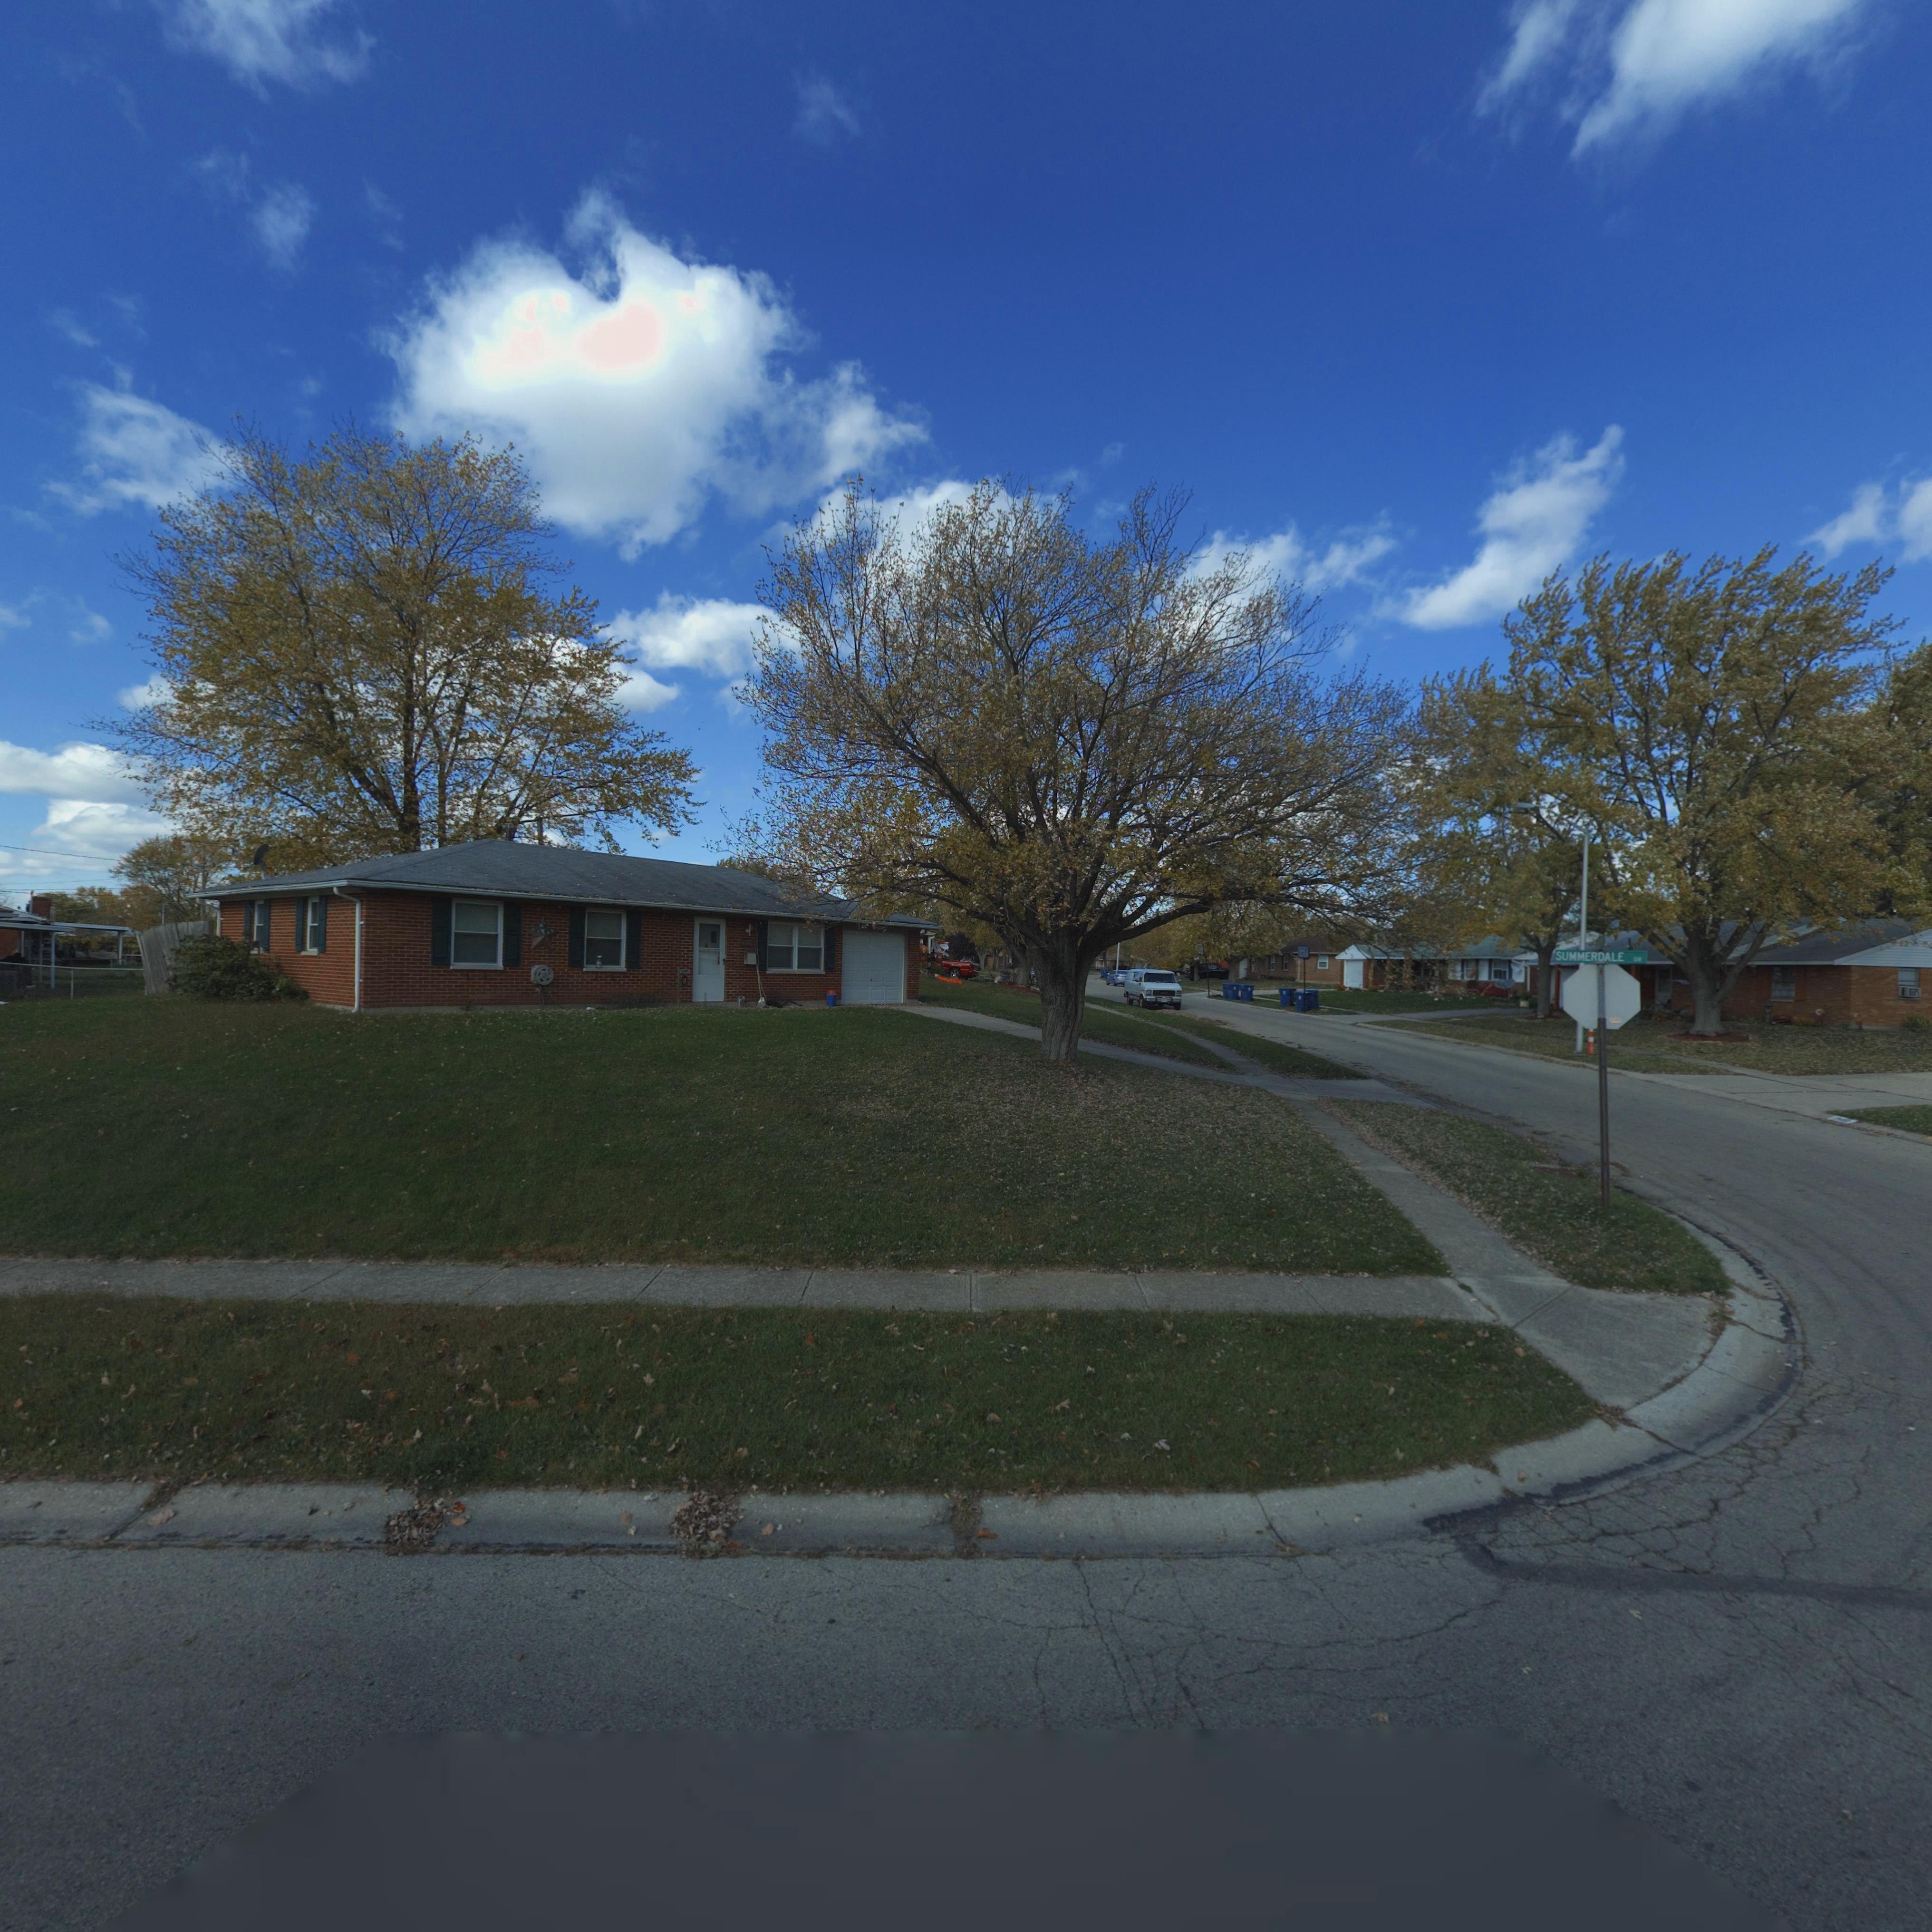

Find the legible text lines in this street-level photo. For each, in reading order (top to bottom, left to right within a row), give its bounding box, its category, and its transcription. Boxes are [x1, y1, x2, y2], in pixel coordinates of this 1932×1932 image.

[742, 940, 754, 946] StreetNumber: 7629
[1555, 950, 1625, 963] StreetName: SUMMERDALE